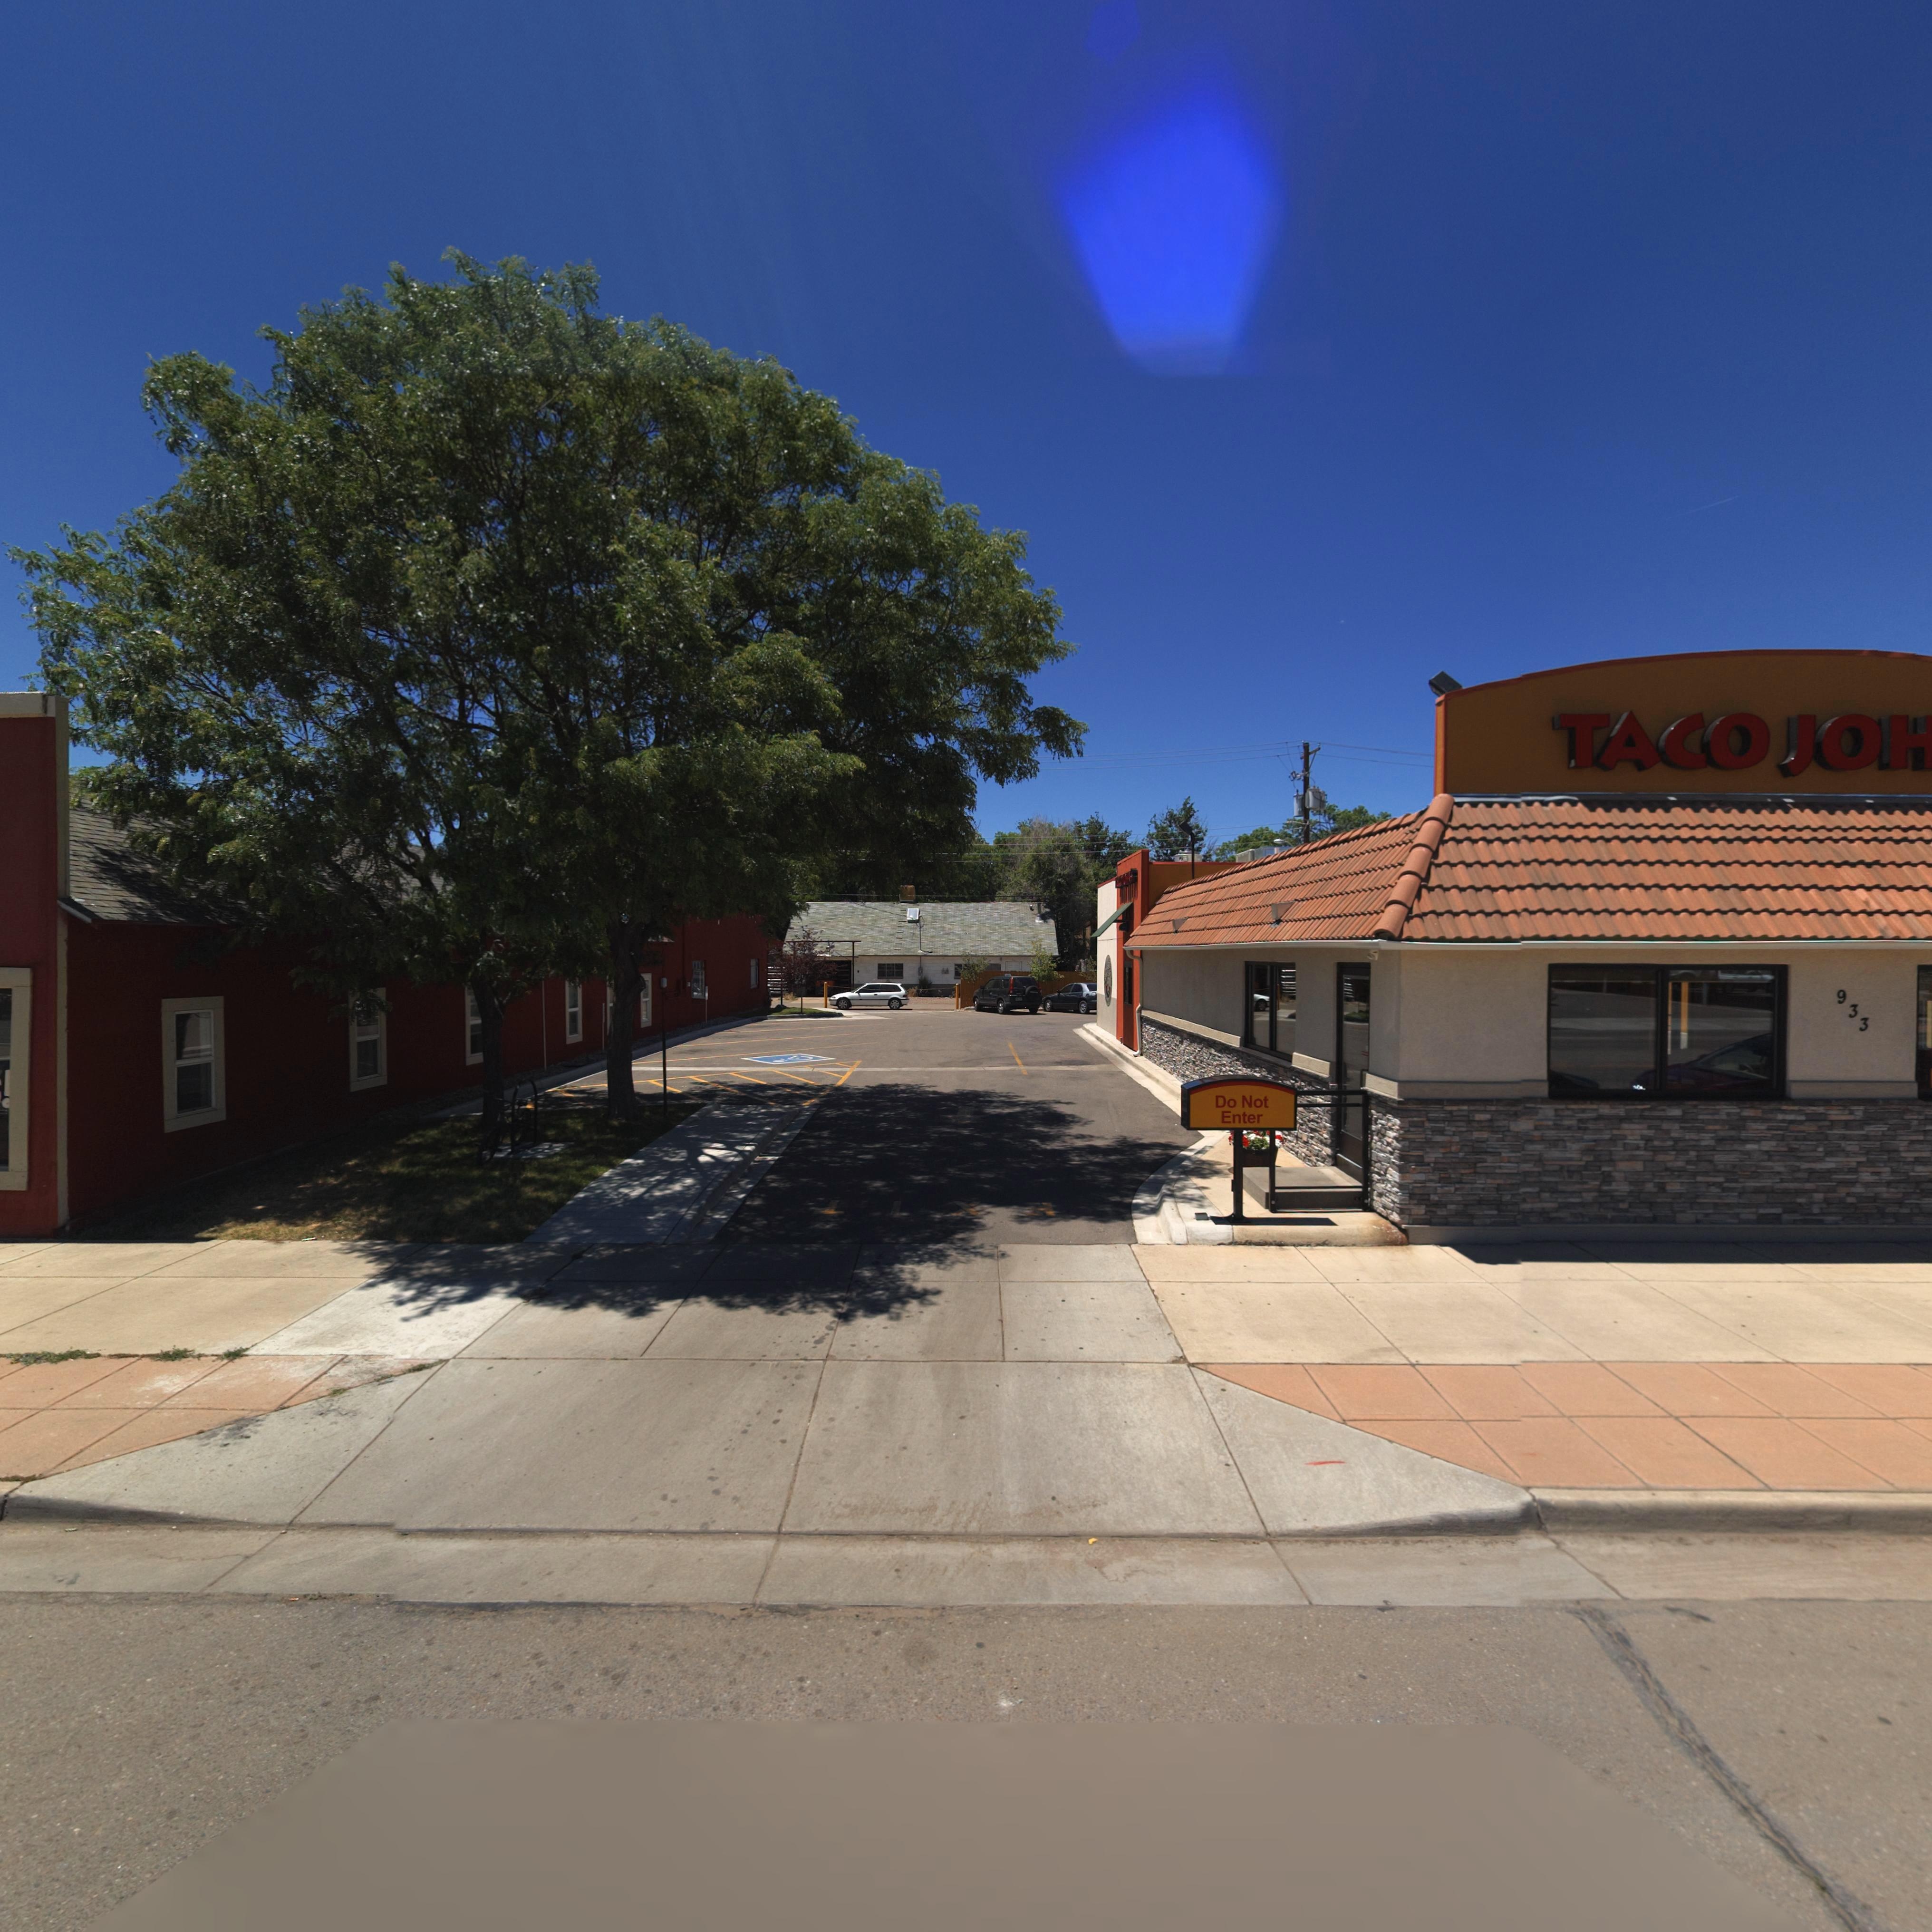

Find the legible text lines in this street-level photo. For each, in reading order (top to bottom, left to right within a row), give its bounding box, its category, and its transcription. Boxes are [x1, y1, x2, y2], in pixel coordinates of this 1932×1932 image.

[1554, 709, 1885, 779] BusinessName: TACO JO
[1835, 988, 1870, 1033] StreetNumber: 933